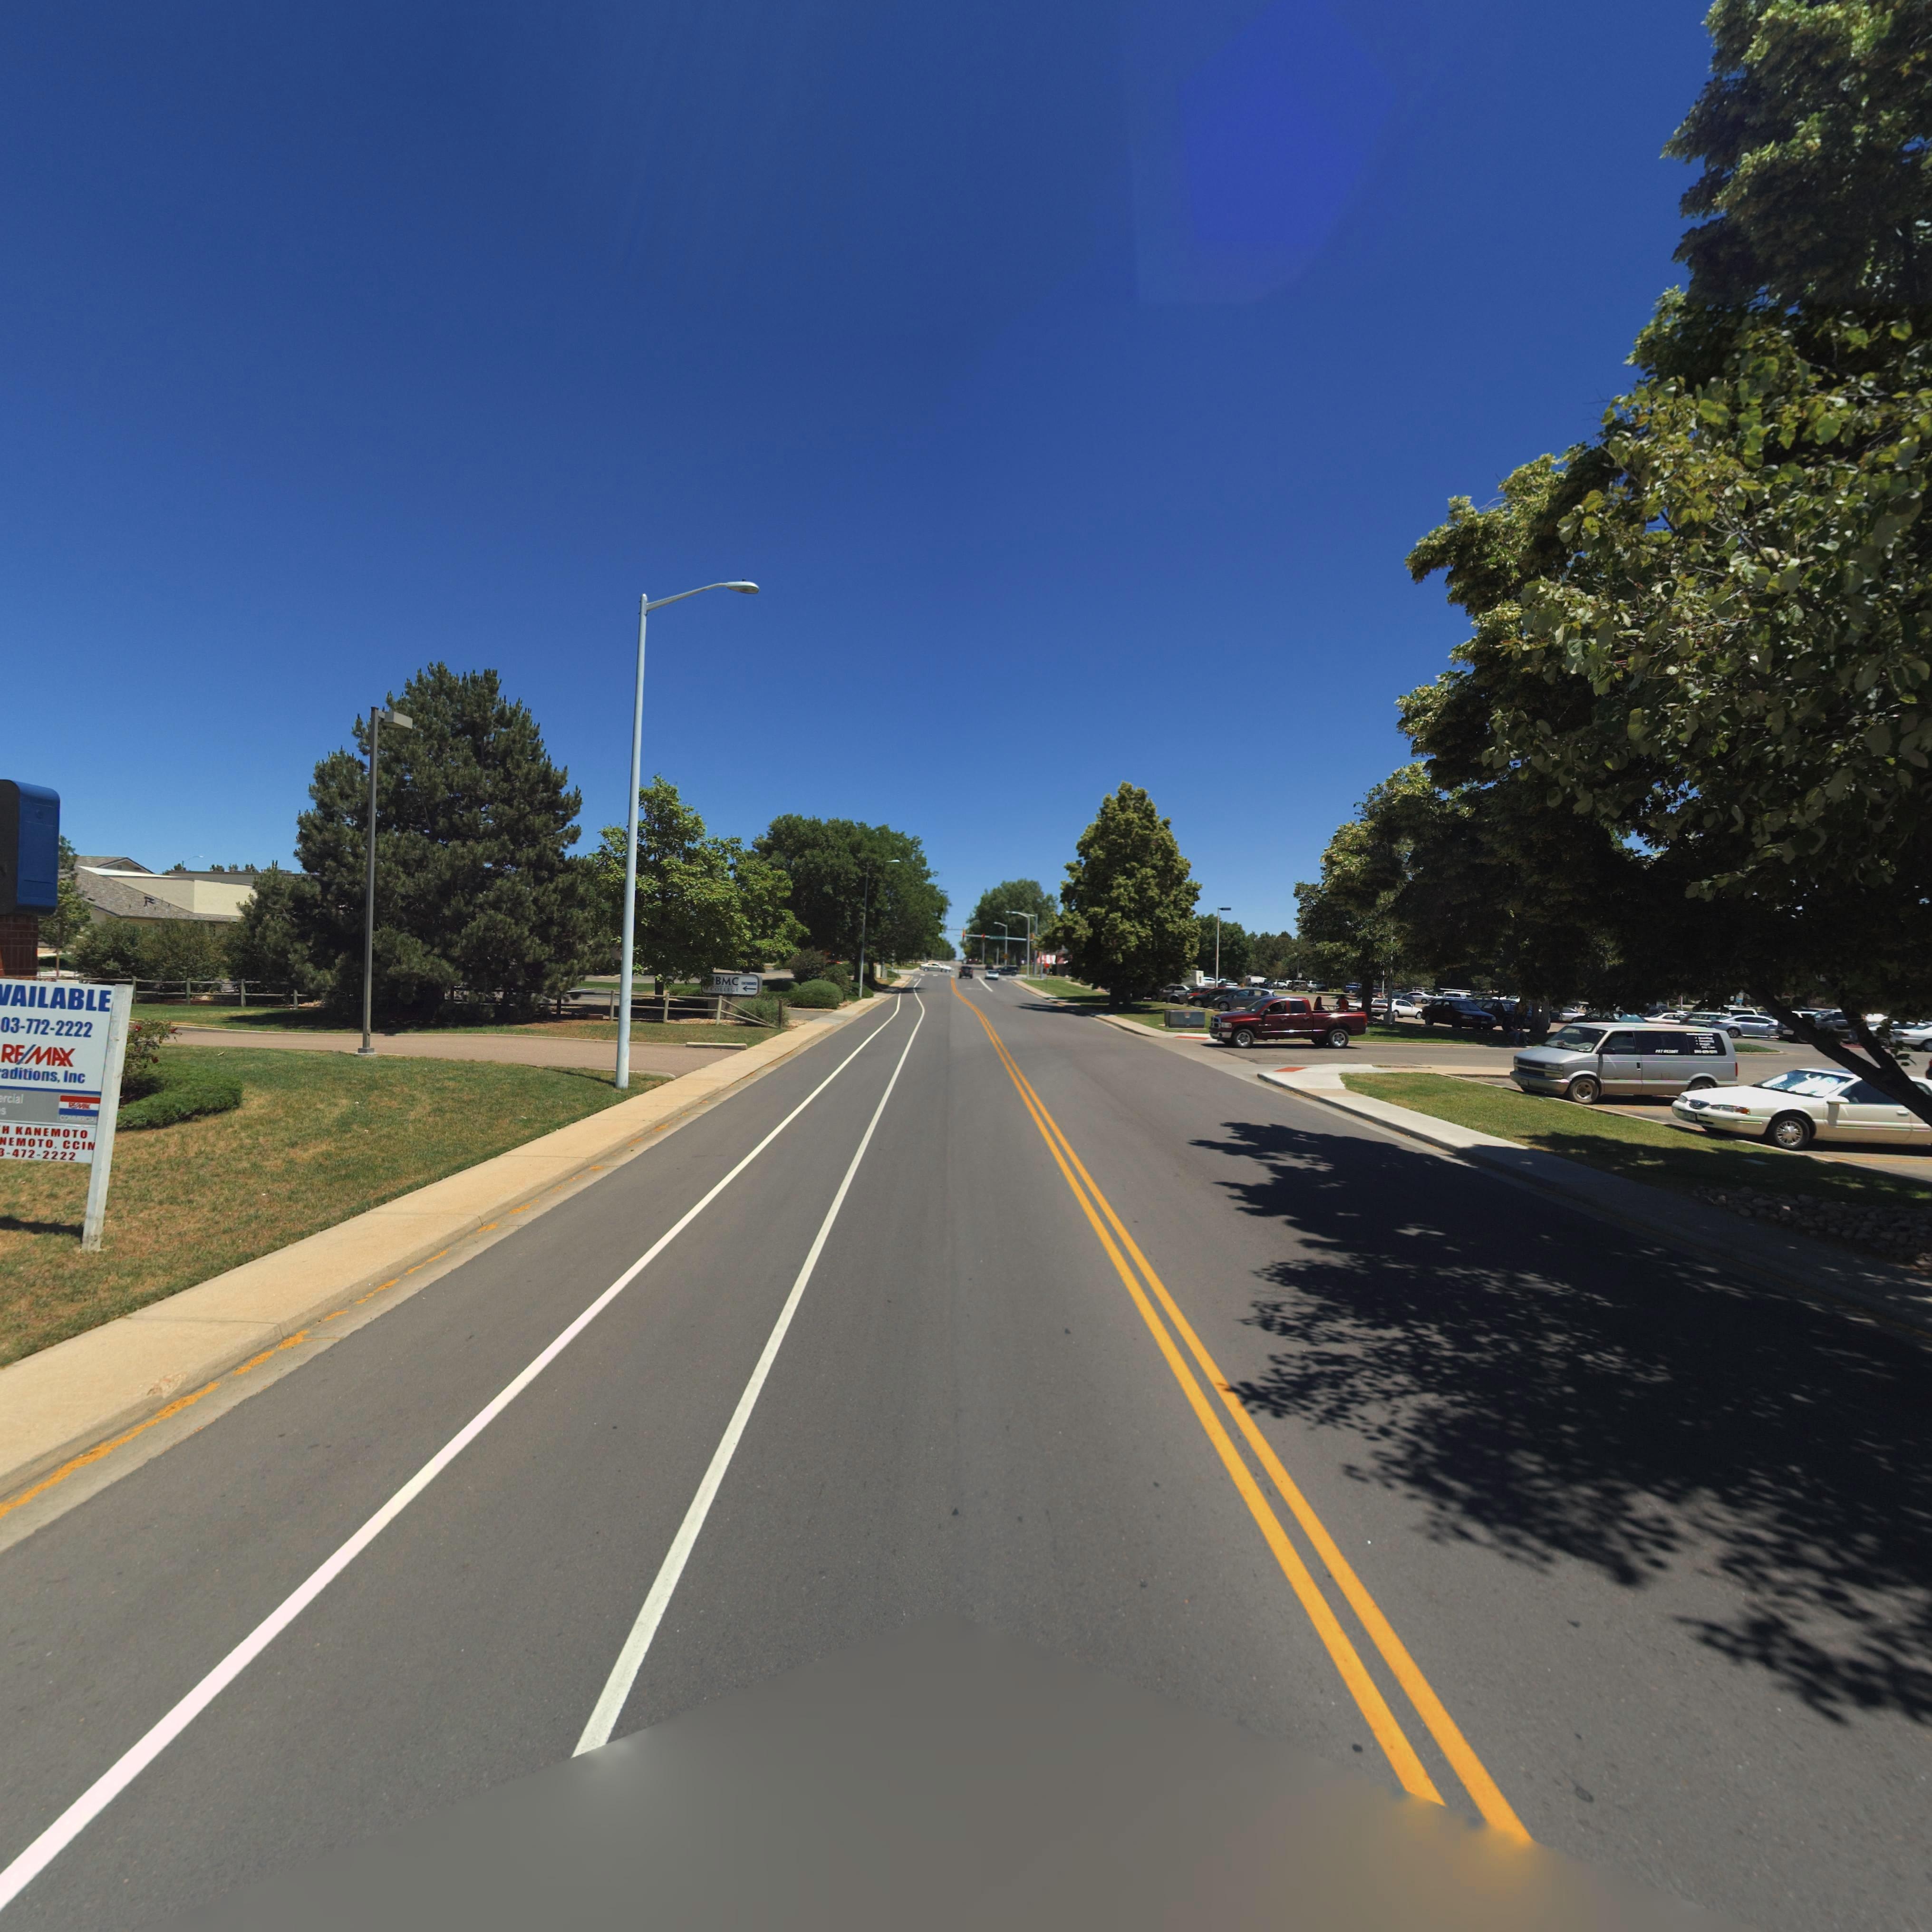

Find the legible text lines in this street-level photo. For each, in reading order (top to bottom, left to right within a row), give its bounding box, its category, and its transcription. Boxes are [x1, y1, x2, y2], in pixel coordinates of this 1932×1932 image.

[715, 976, 739, 985] BusinessName: BMC
[710, 986, 739, 992] BusinessName: COLLEGE